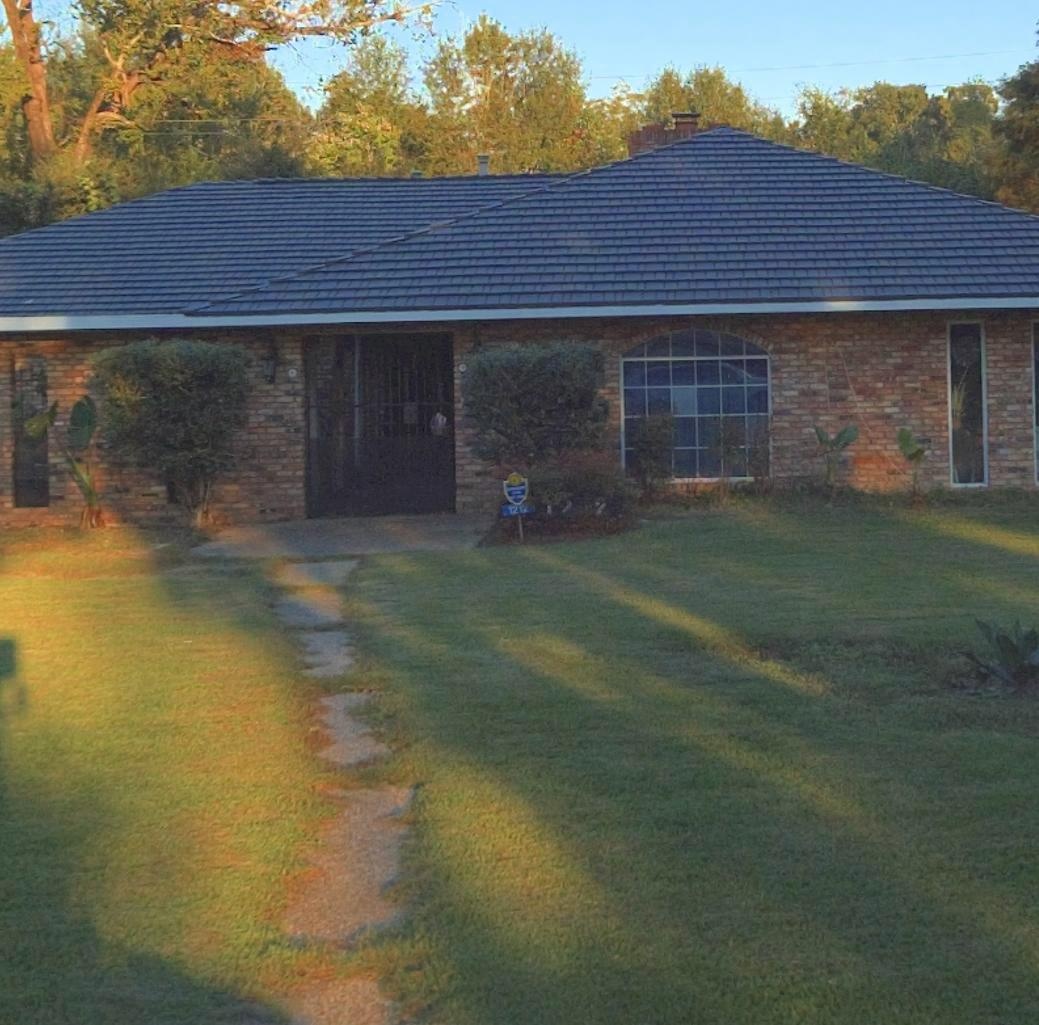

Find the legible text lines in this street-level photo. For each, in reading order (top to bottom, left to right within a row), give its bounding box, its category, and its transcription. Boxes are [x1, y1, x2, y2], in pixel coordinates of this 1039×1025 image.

[506, 504, 531, 516] StreetNumber: 121*